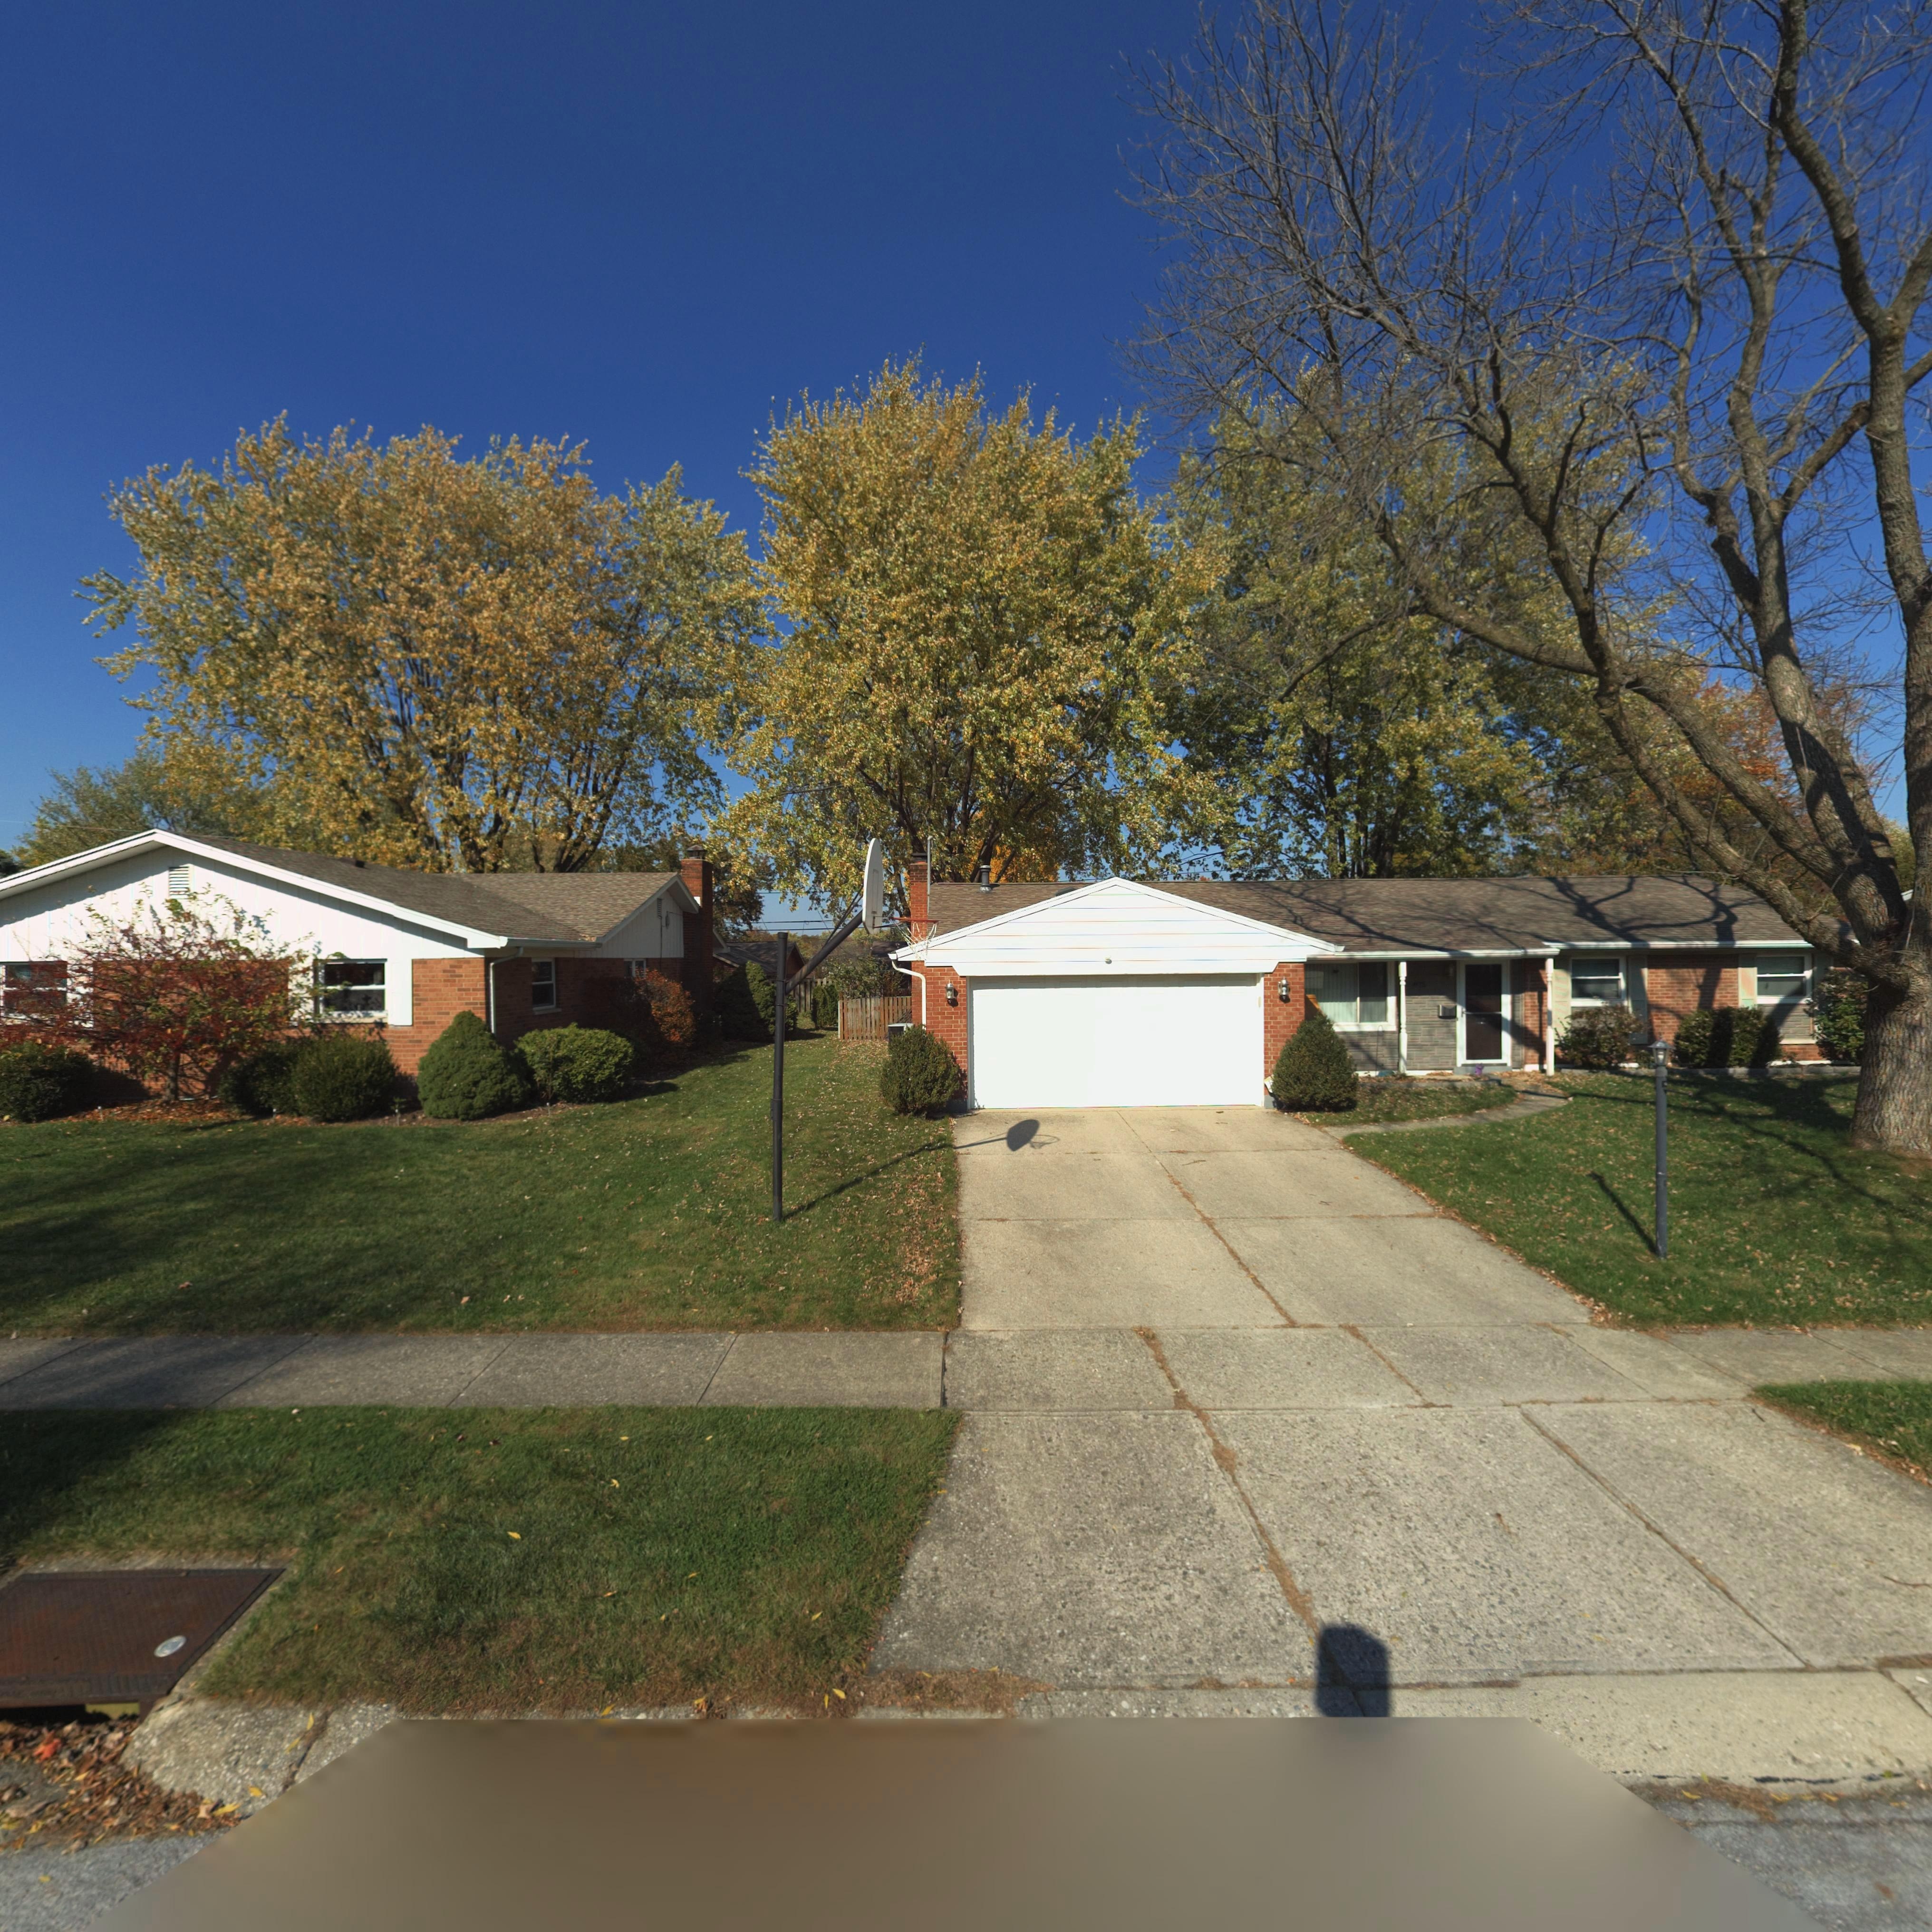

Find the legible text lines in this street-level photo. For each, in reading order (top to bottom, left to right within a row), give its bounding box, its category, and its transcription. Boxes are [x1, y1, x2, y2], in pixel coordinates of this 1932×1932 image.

[1413, 981, 1426, 987] StreetNumber: 975